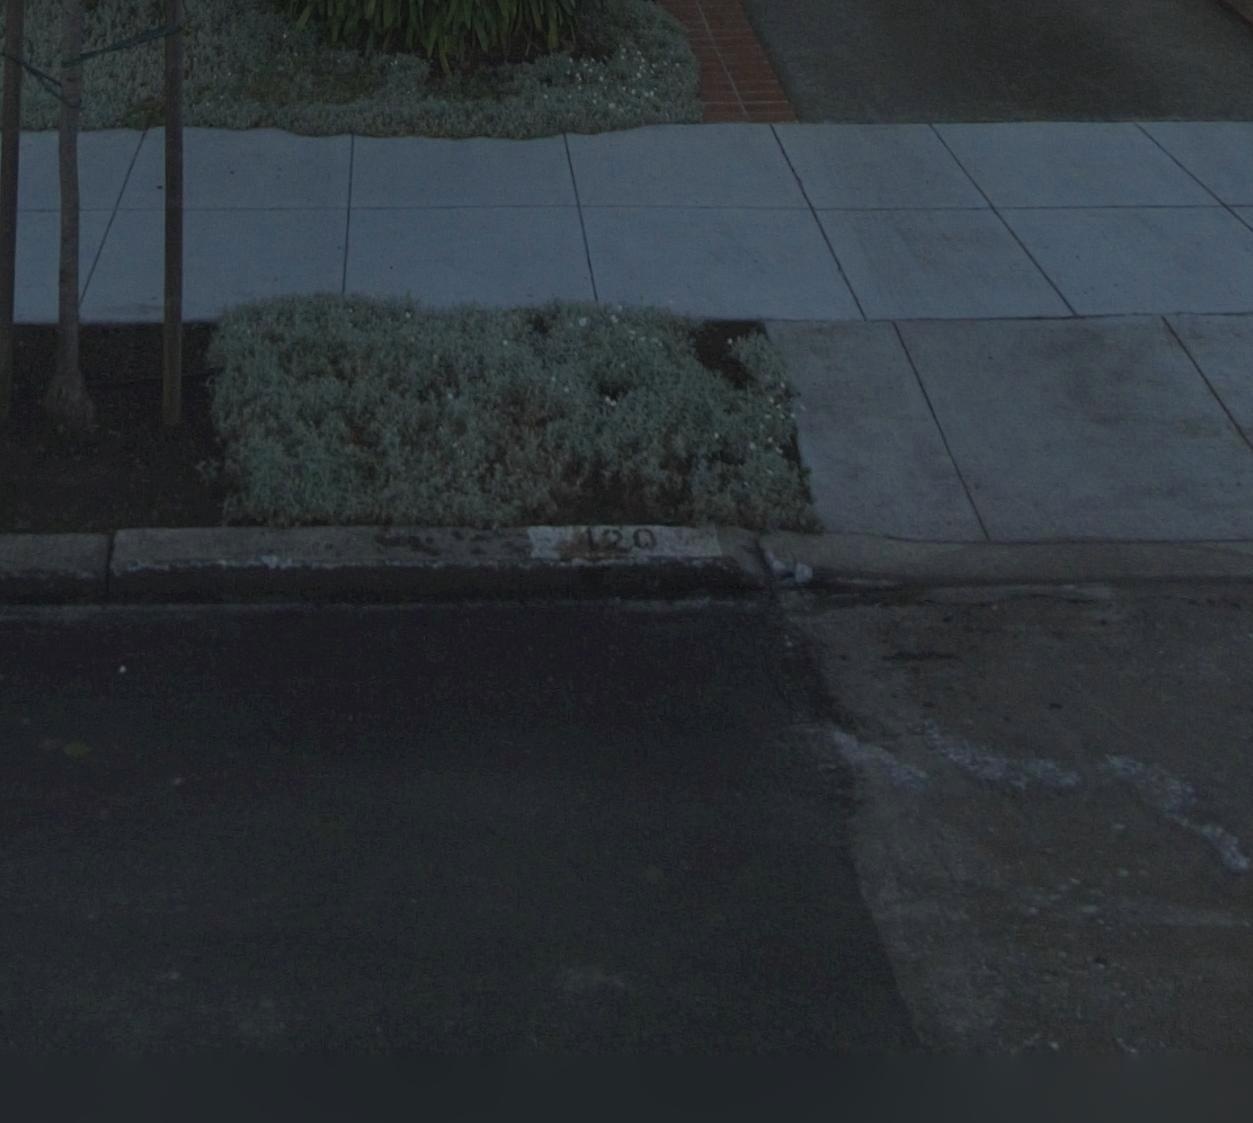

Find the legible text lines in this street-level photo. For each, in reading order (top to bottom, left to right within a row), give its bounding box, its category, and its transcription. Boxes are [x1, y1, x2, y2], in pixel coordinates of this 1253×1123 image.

[570, 524, 660, 558] StreetNumber: 420